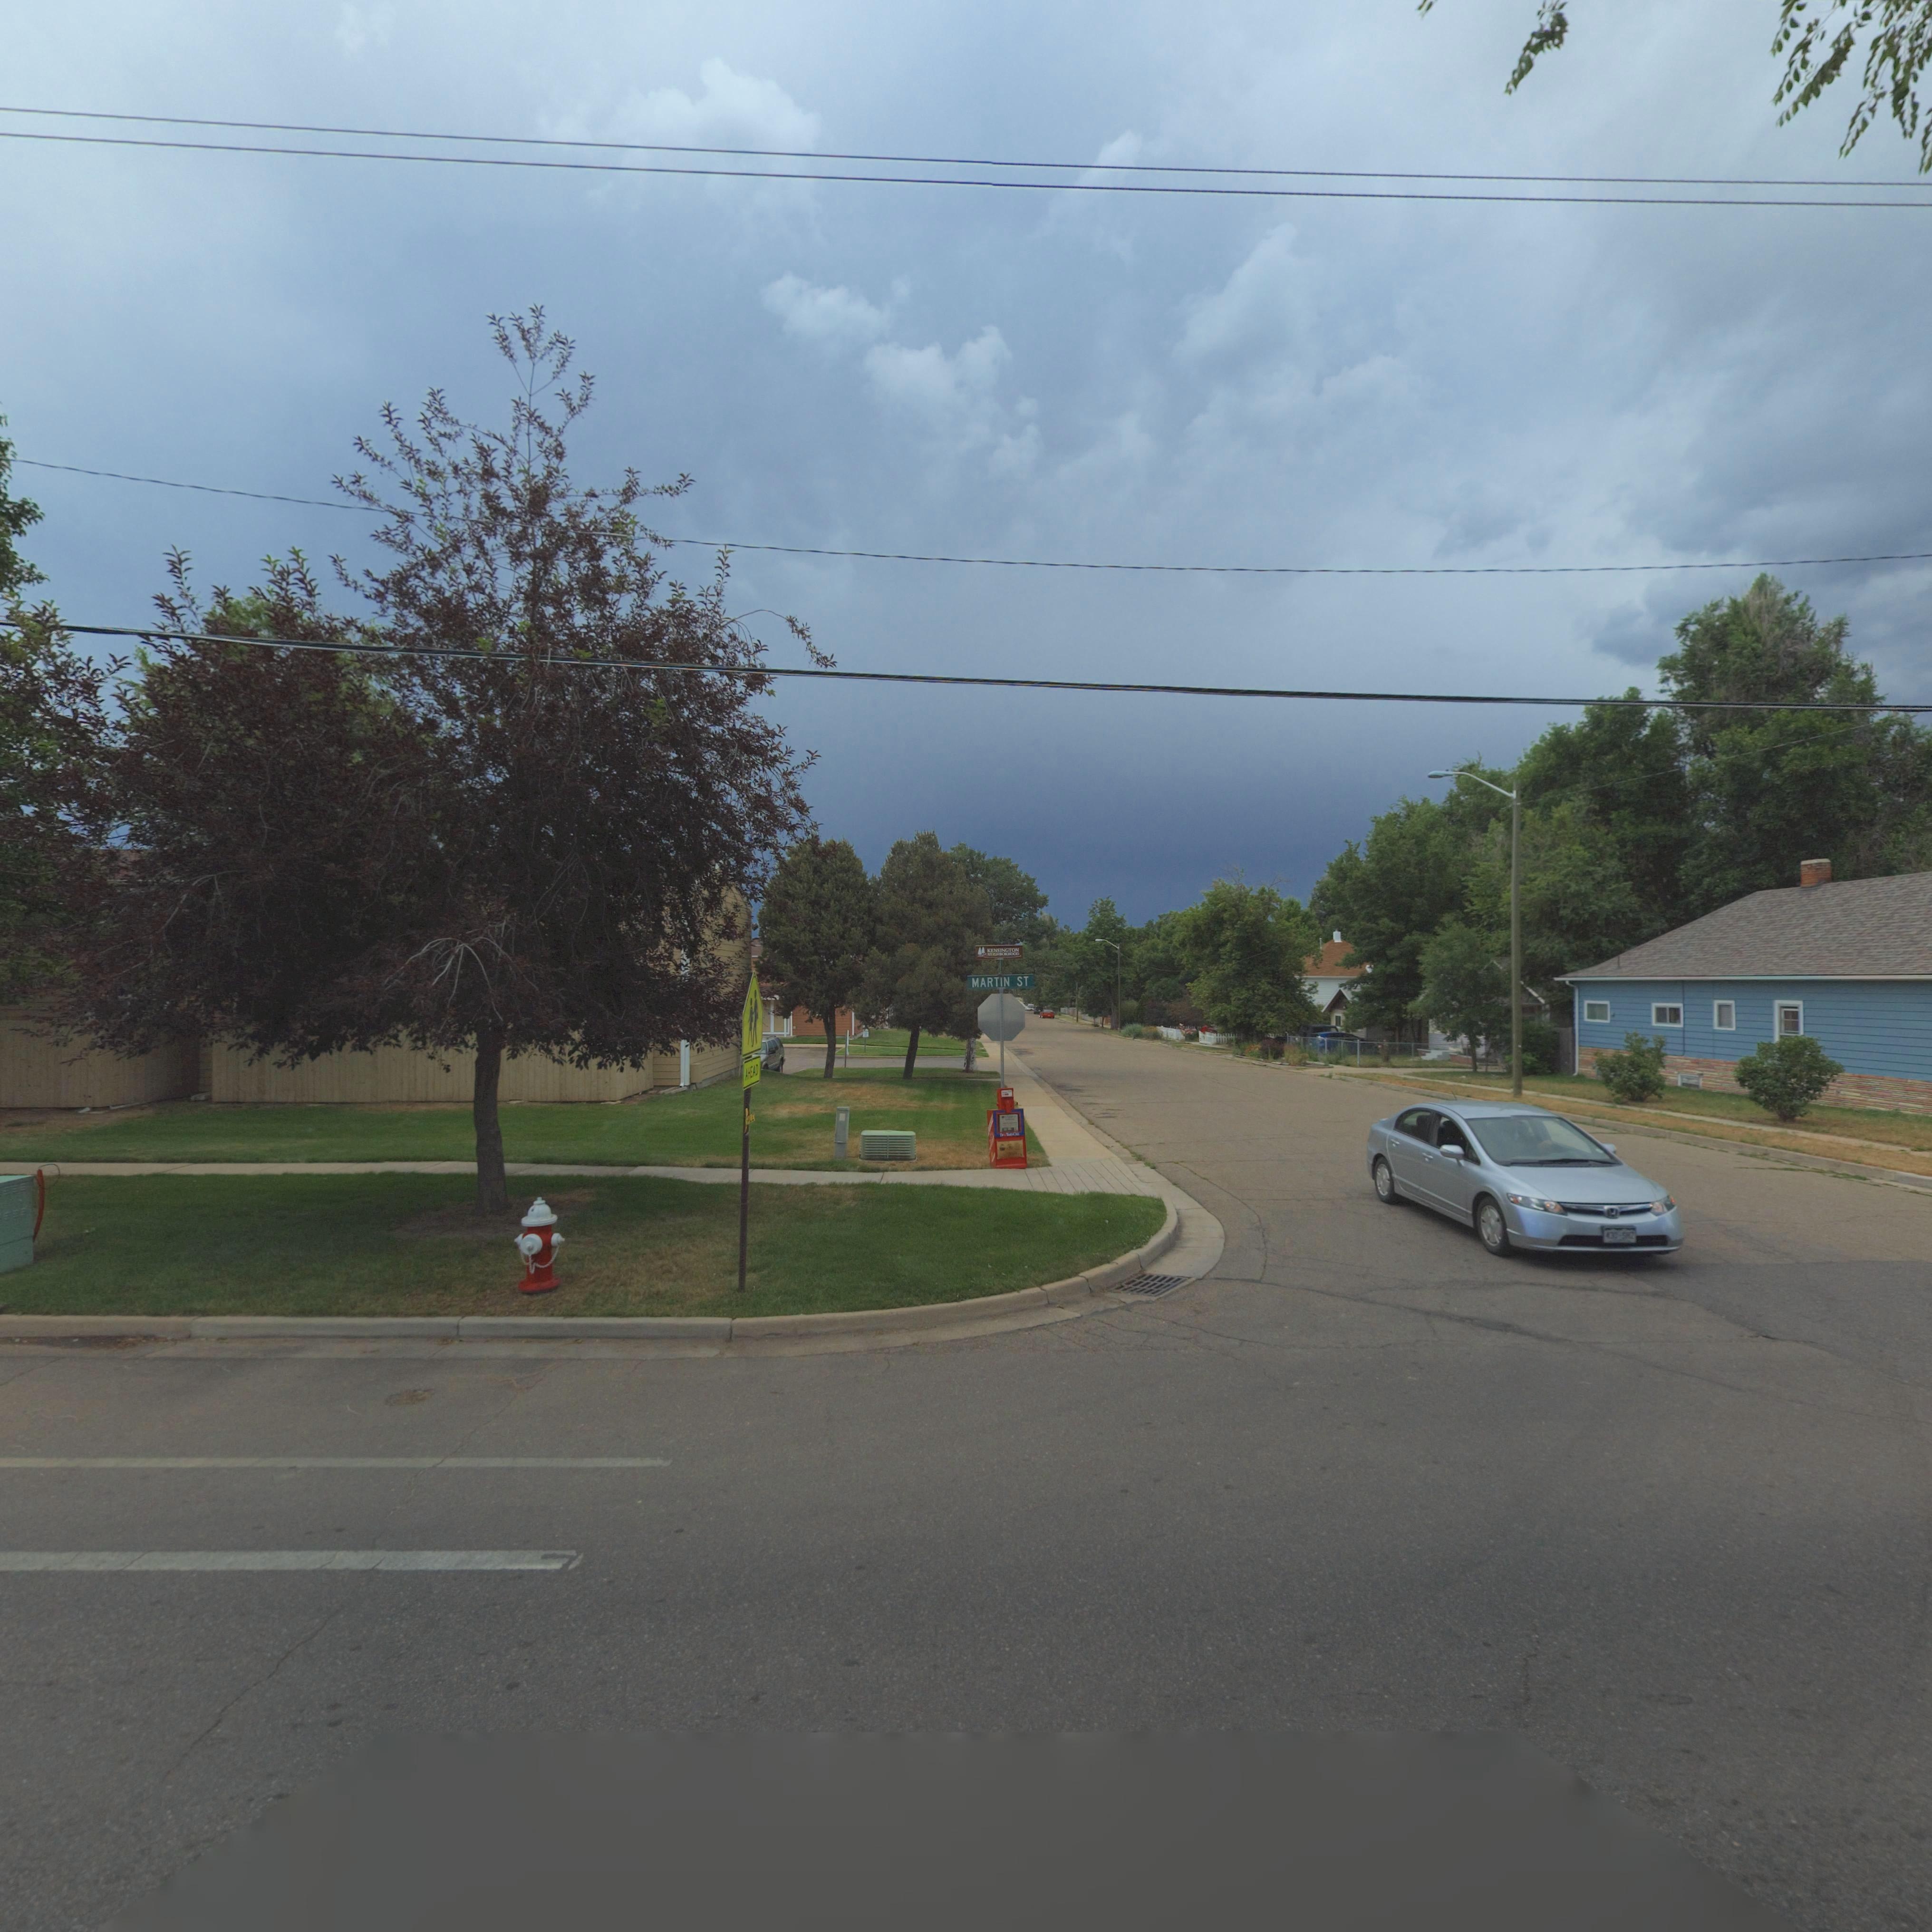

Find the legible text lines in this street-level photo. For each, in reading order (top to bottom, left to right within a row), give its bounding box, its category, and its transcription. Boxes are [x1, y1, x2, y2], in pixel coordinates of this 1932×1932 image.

[972, 976, 1029, 988] StreetName: MARTIN ST